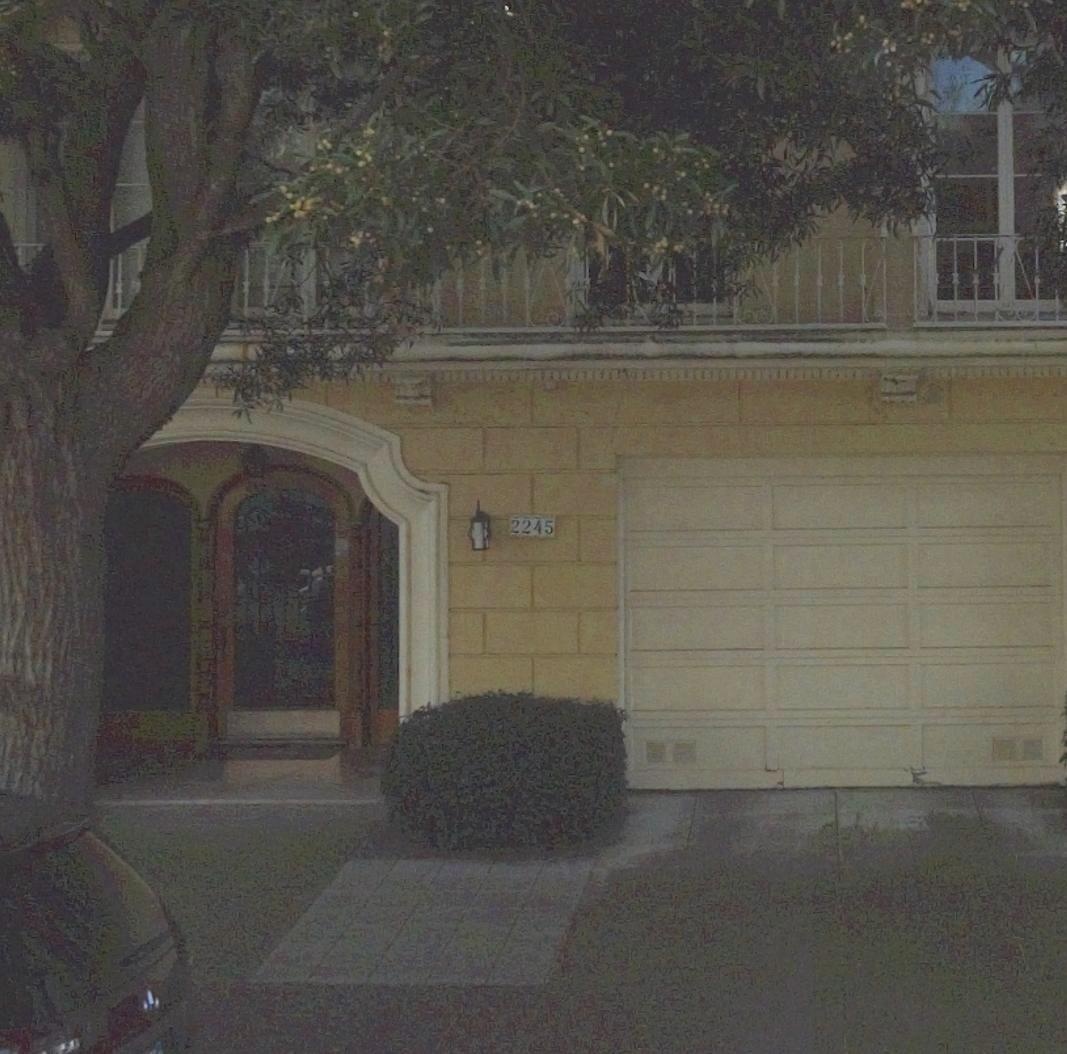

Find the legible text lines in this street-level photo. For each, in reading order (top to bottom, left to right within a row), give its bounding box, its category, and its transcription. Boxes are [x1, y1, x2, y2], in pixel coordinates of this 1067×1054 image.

[509, 518, 555, 536] StreetNumber: 2245